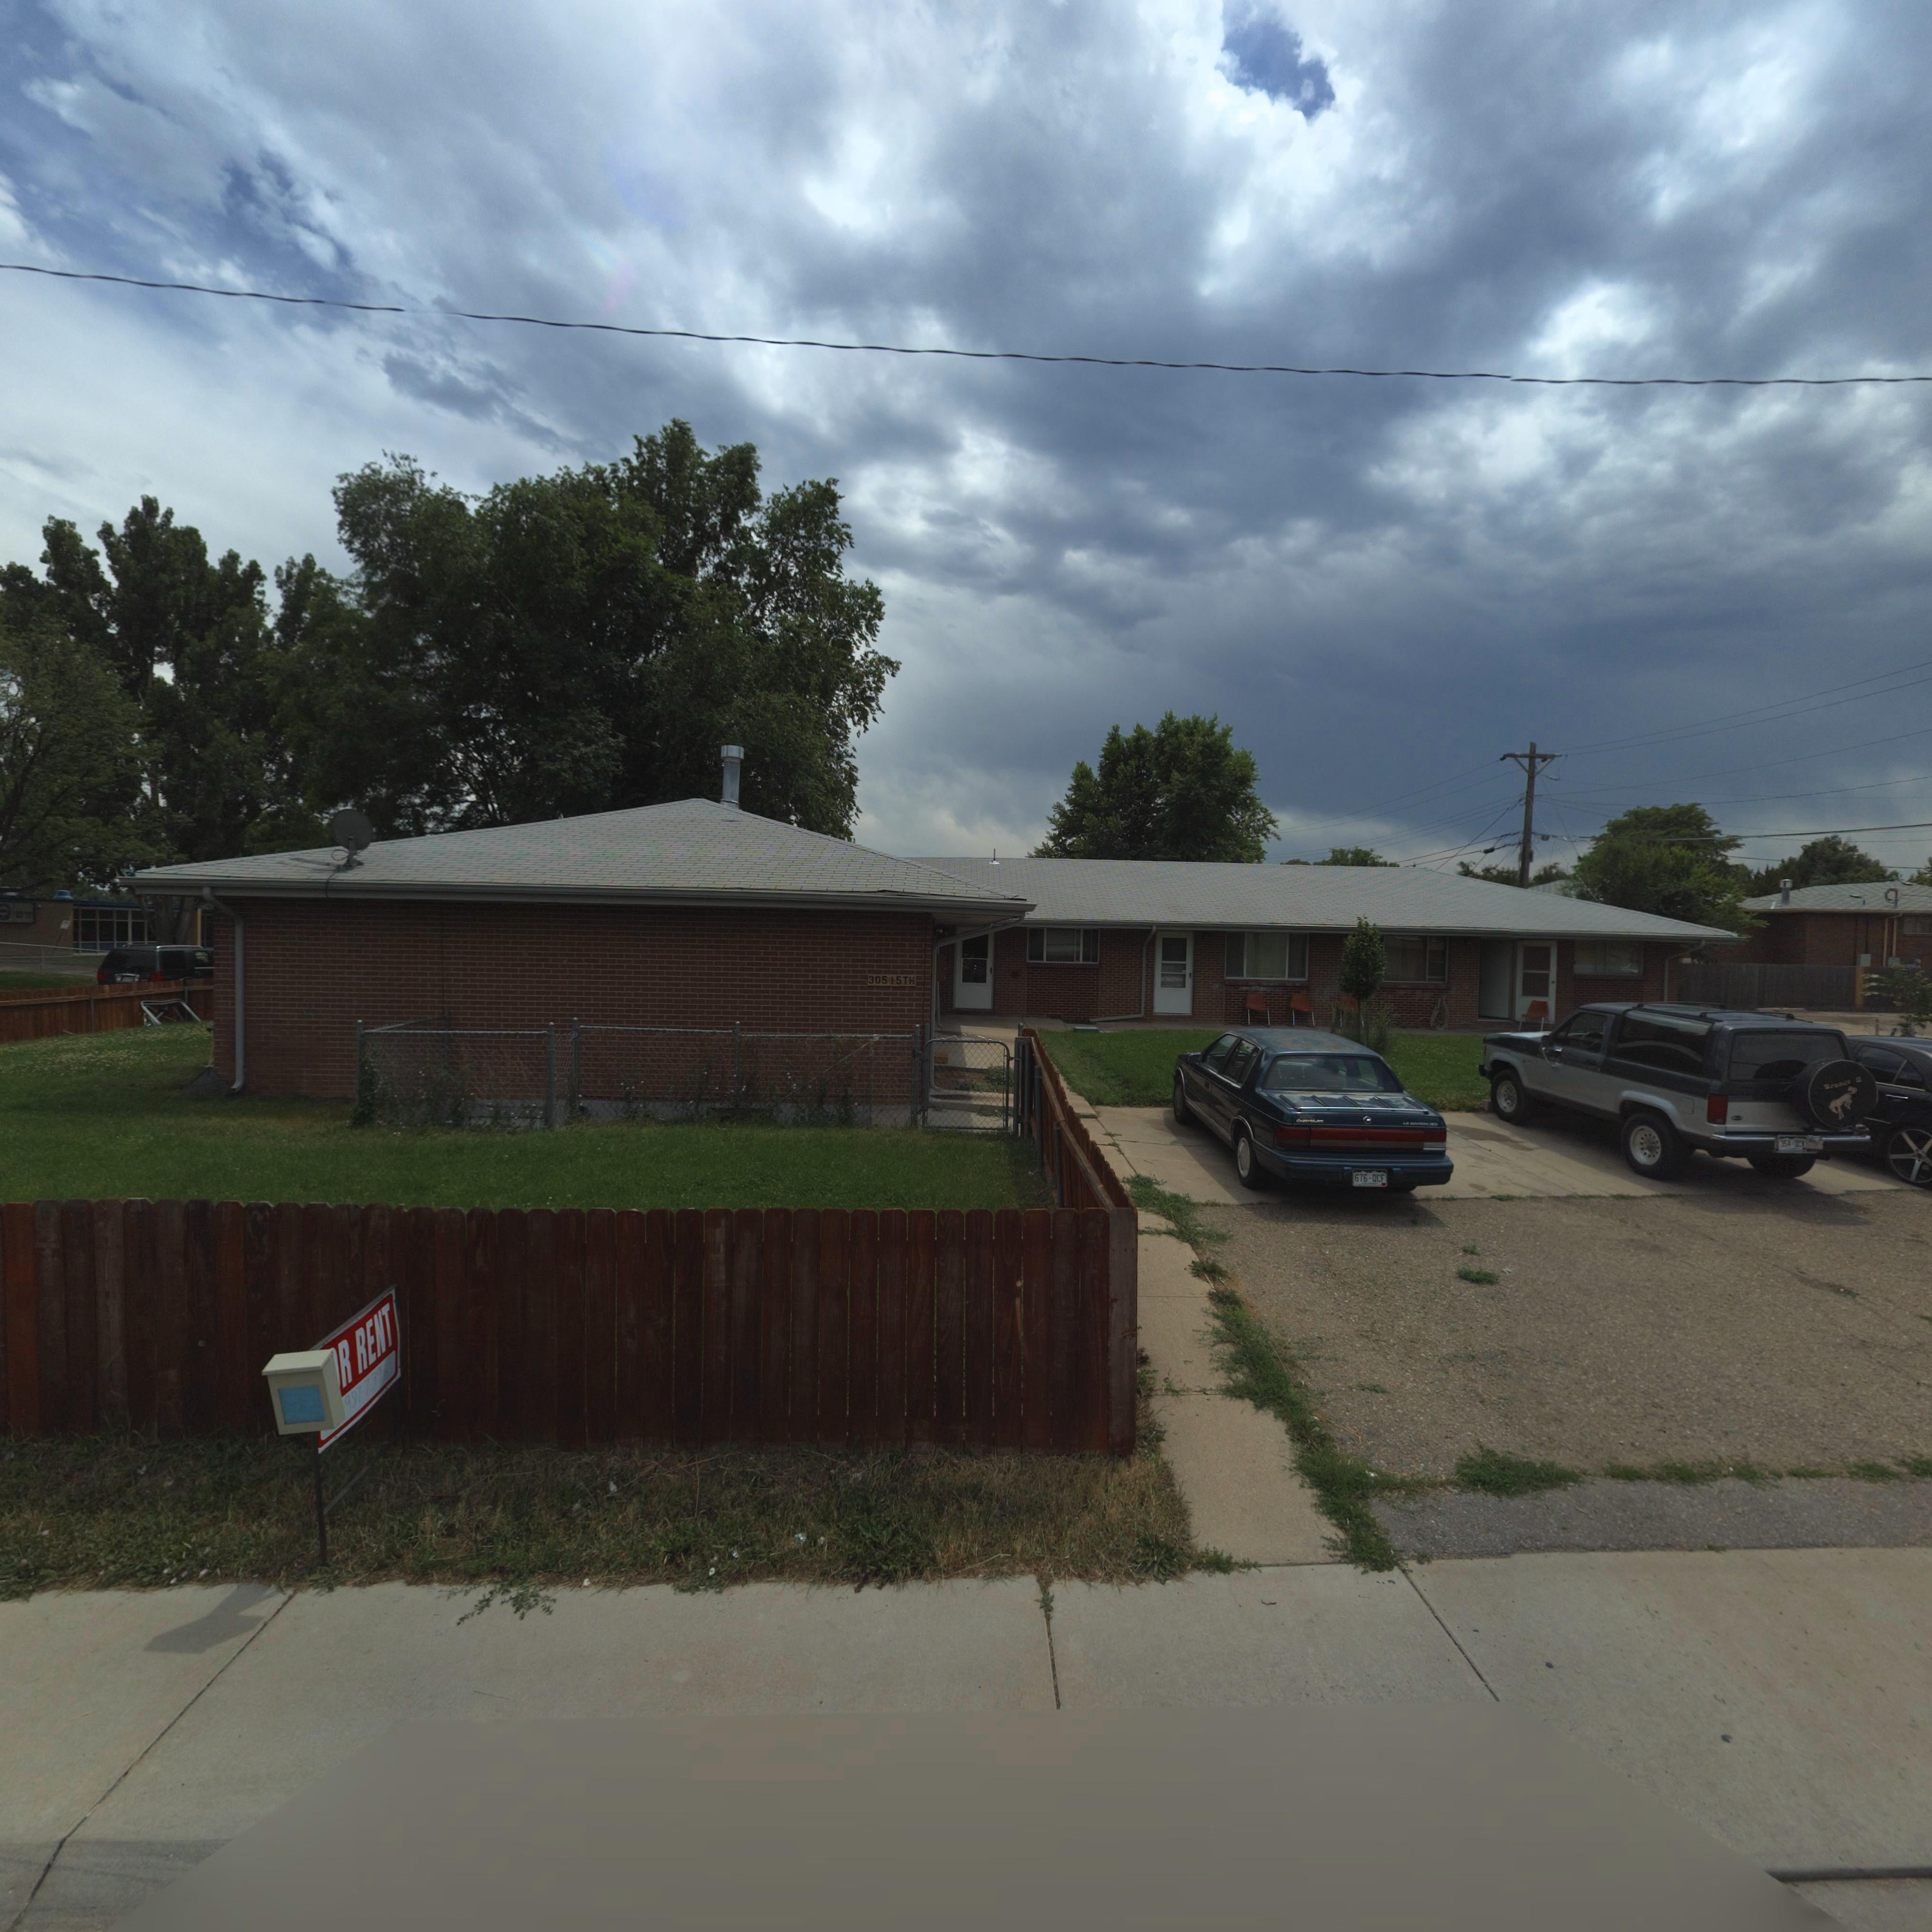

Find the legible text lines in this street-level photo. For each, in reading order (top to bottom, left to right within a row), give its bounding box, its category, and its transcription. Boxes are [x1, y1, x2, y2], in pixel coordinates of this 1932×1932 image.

[868, 975, 887, 985] StreetNumber: 305
[891, 976, 914, 985] StreetName: 15TH